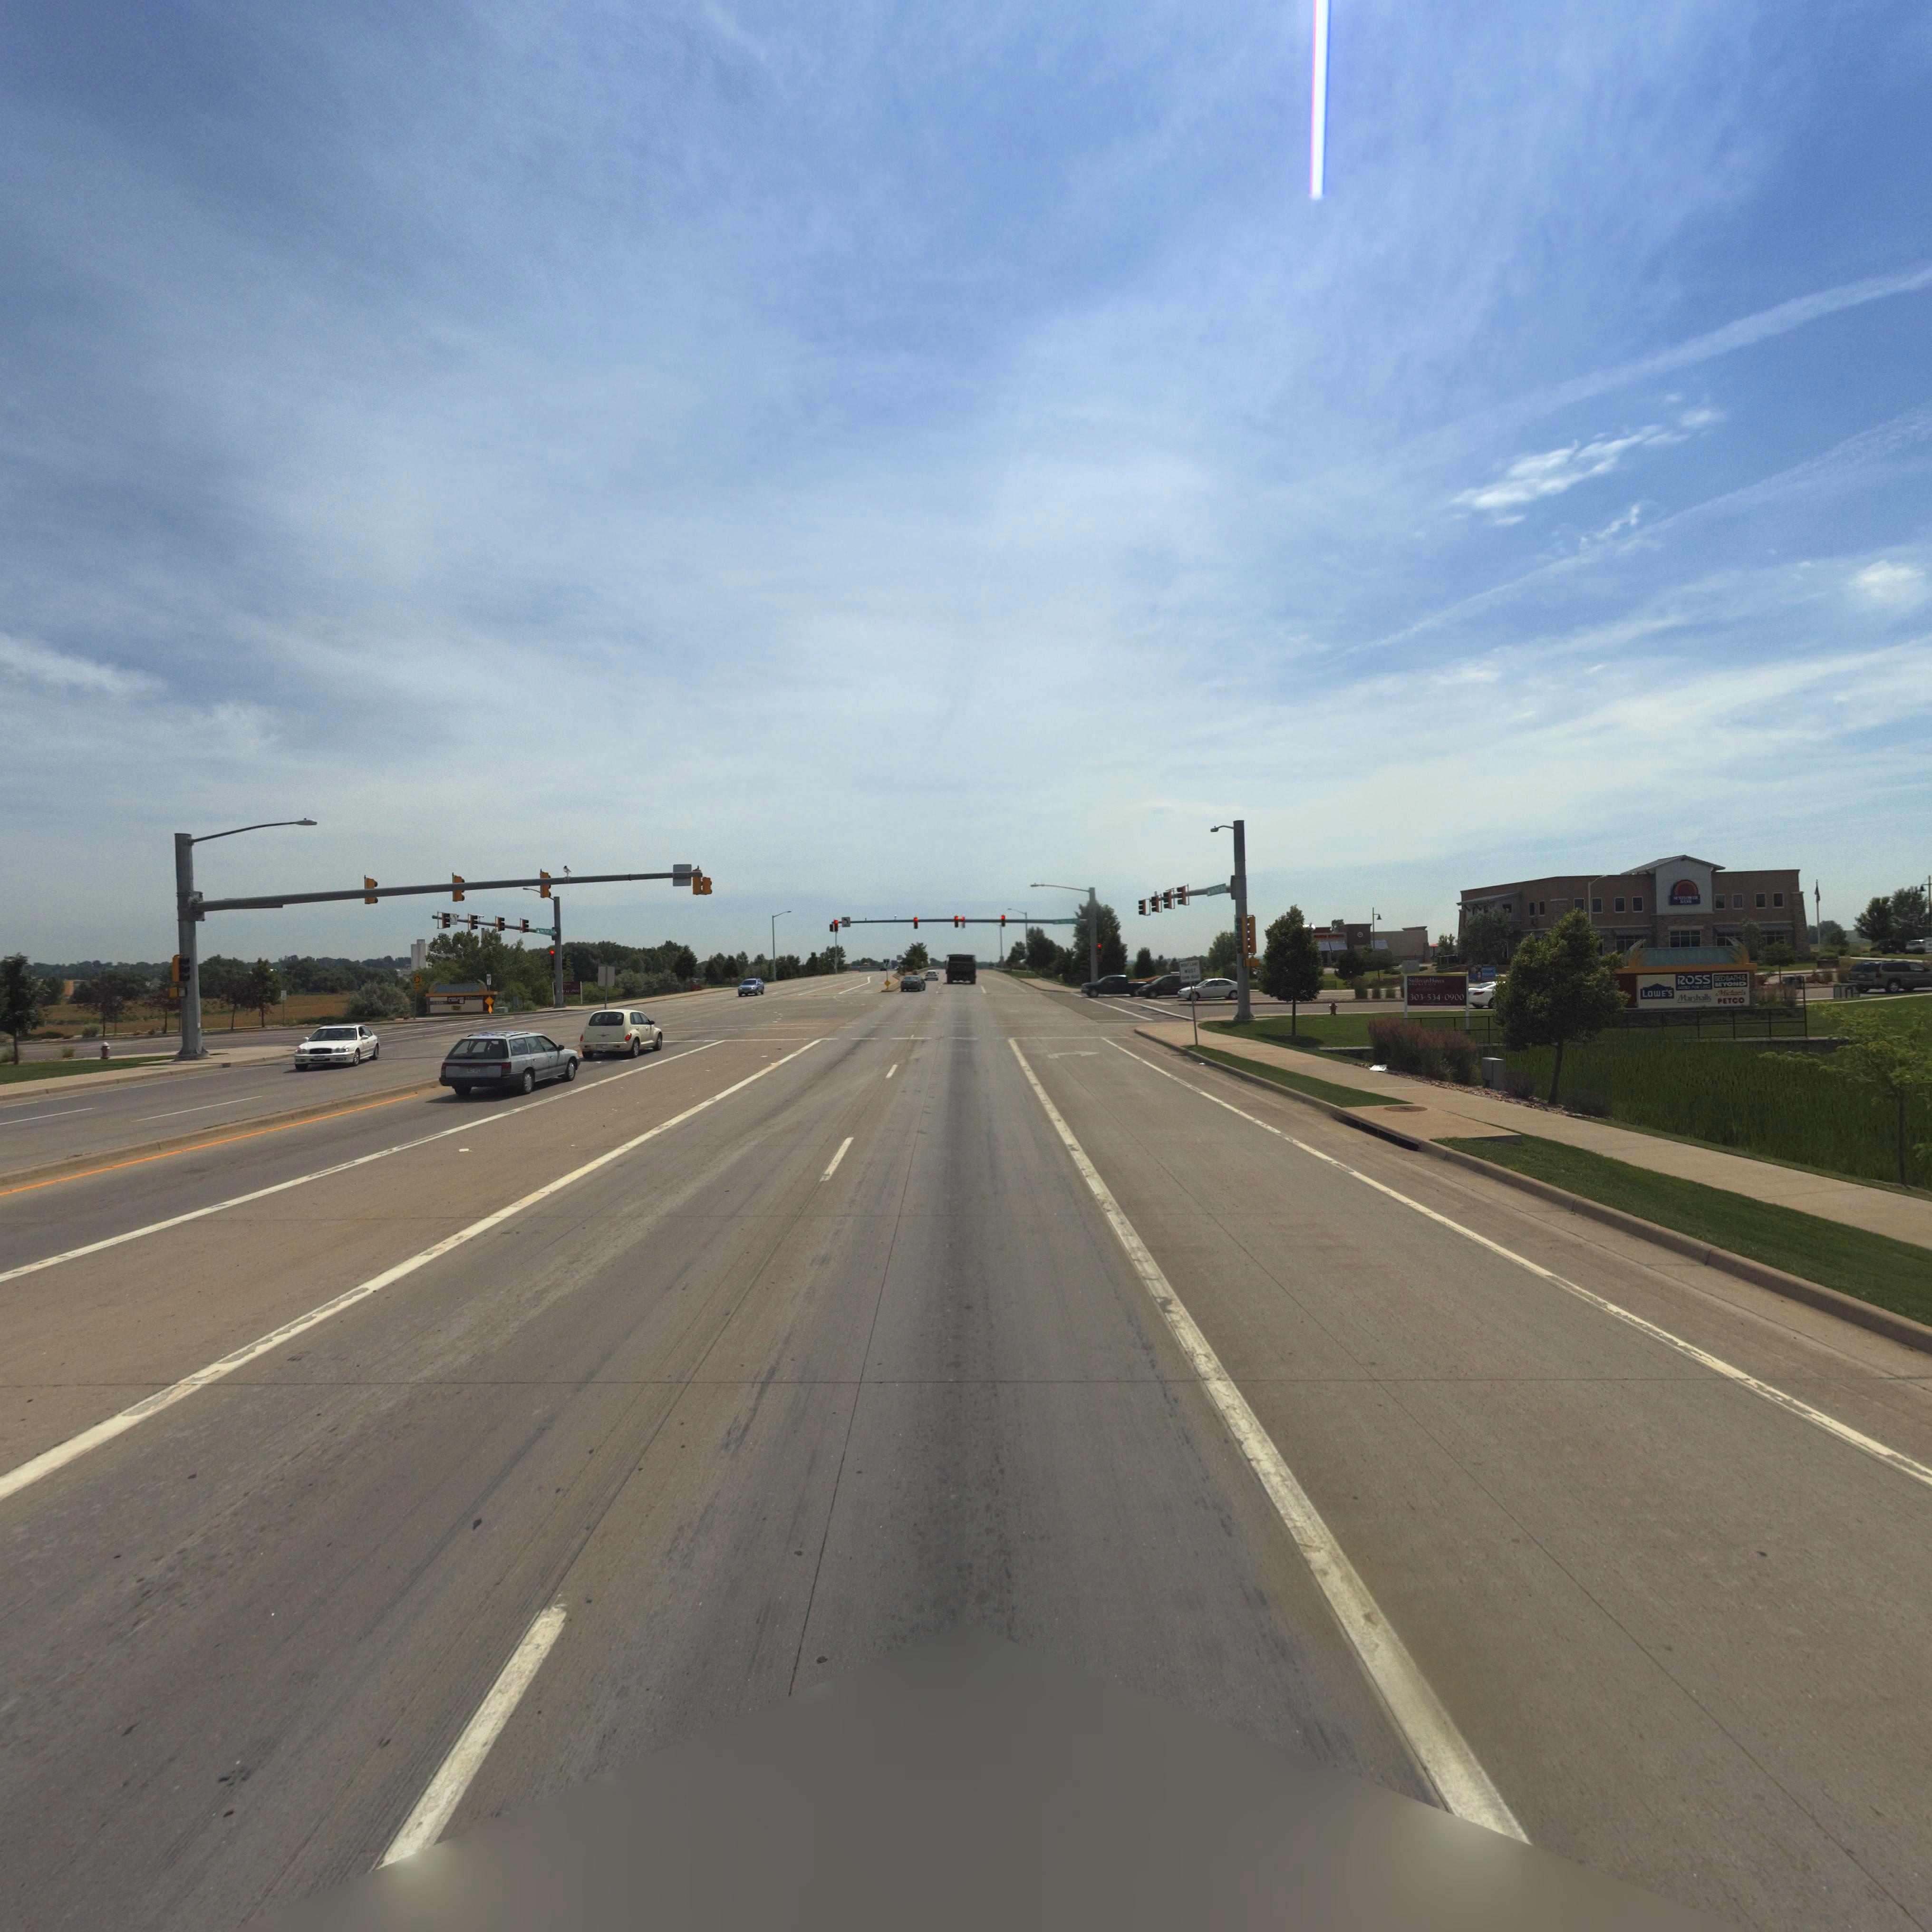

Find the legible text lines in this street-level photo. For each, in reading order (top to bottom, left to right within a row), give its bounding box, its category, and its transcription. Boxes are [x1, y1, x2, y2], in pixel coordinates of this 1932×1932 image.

[1653, 947, 1725, 962] BusinessName: **RV*ST
[1677, 974, 1711, 985] BusinessName: ROSS
[1714, 974, 1747, 982] BusinessName: BEDBATH&
[1714, 981, 1747, 987] BusinessName: BEYOND
[1642, 989, 1673, 998] BusinessName: LOWE'S
[1676, 993, 1712, 1002] BusinessName: M*rsh*lls
[1714, 988, 1746, 996] BusinessName: Mi******
[1717, 996, 1745, 1005] BusinessName: PETCO